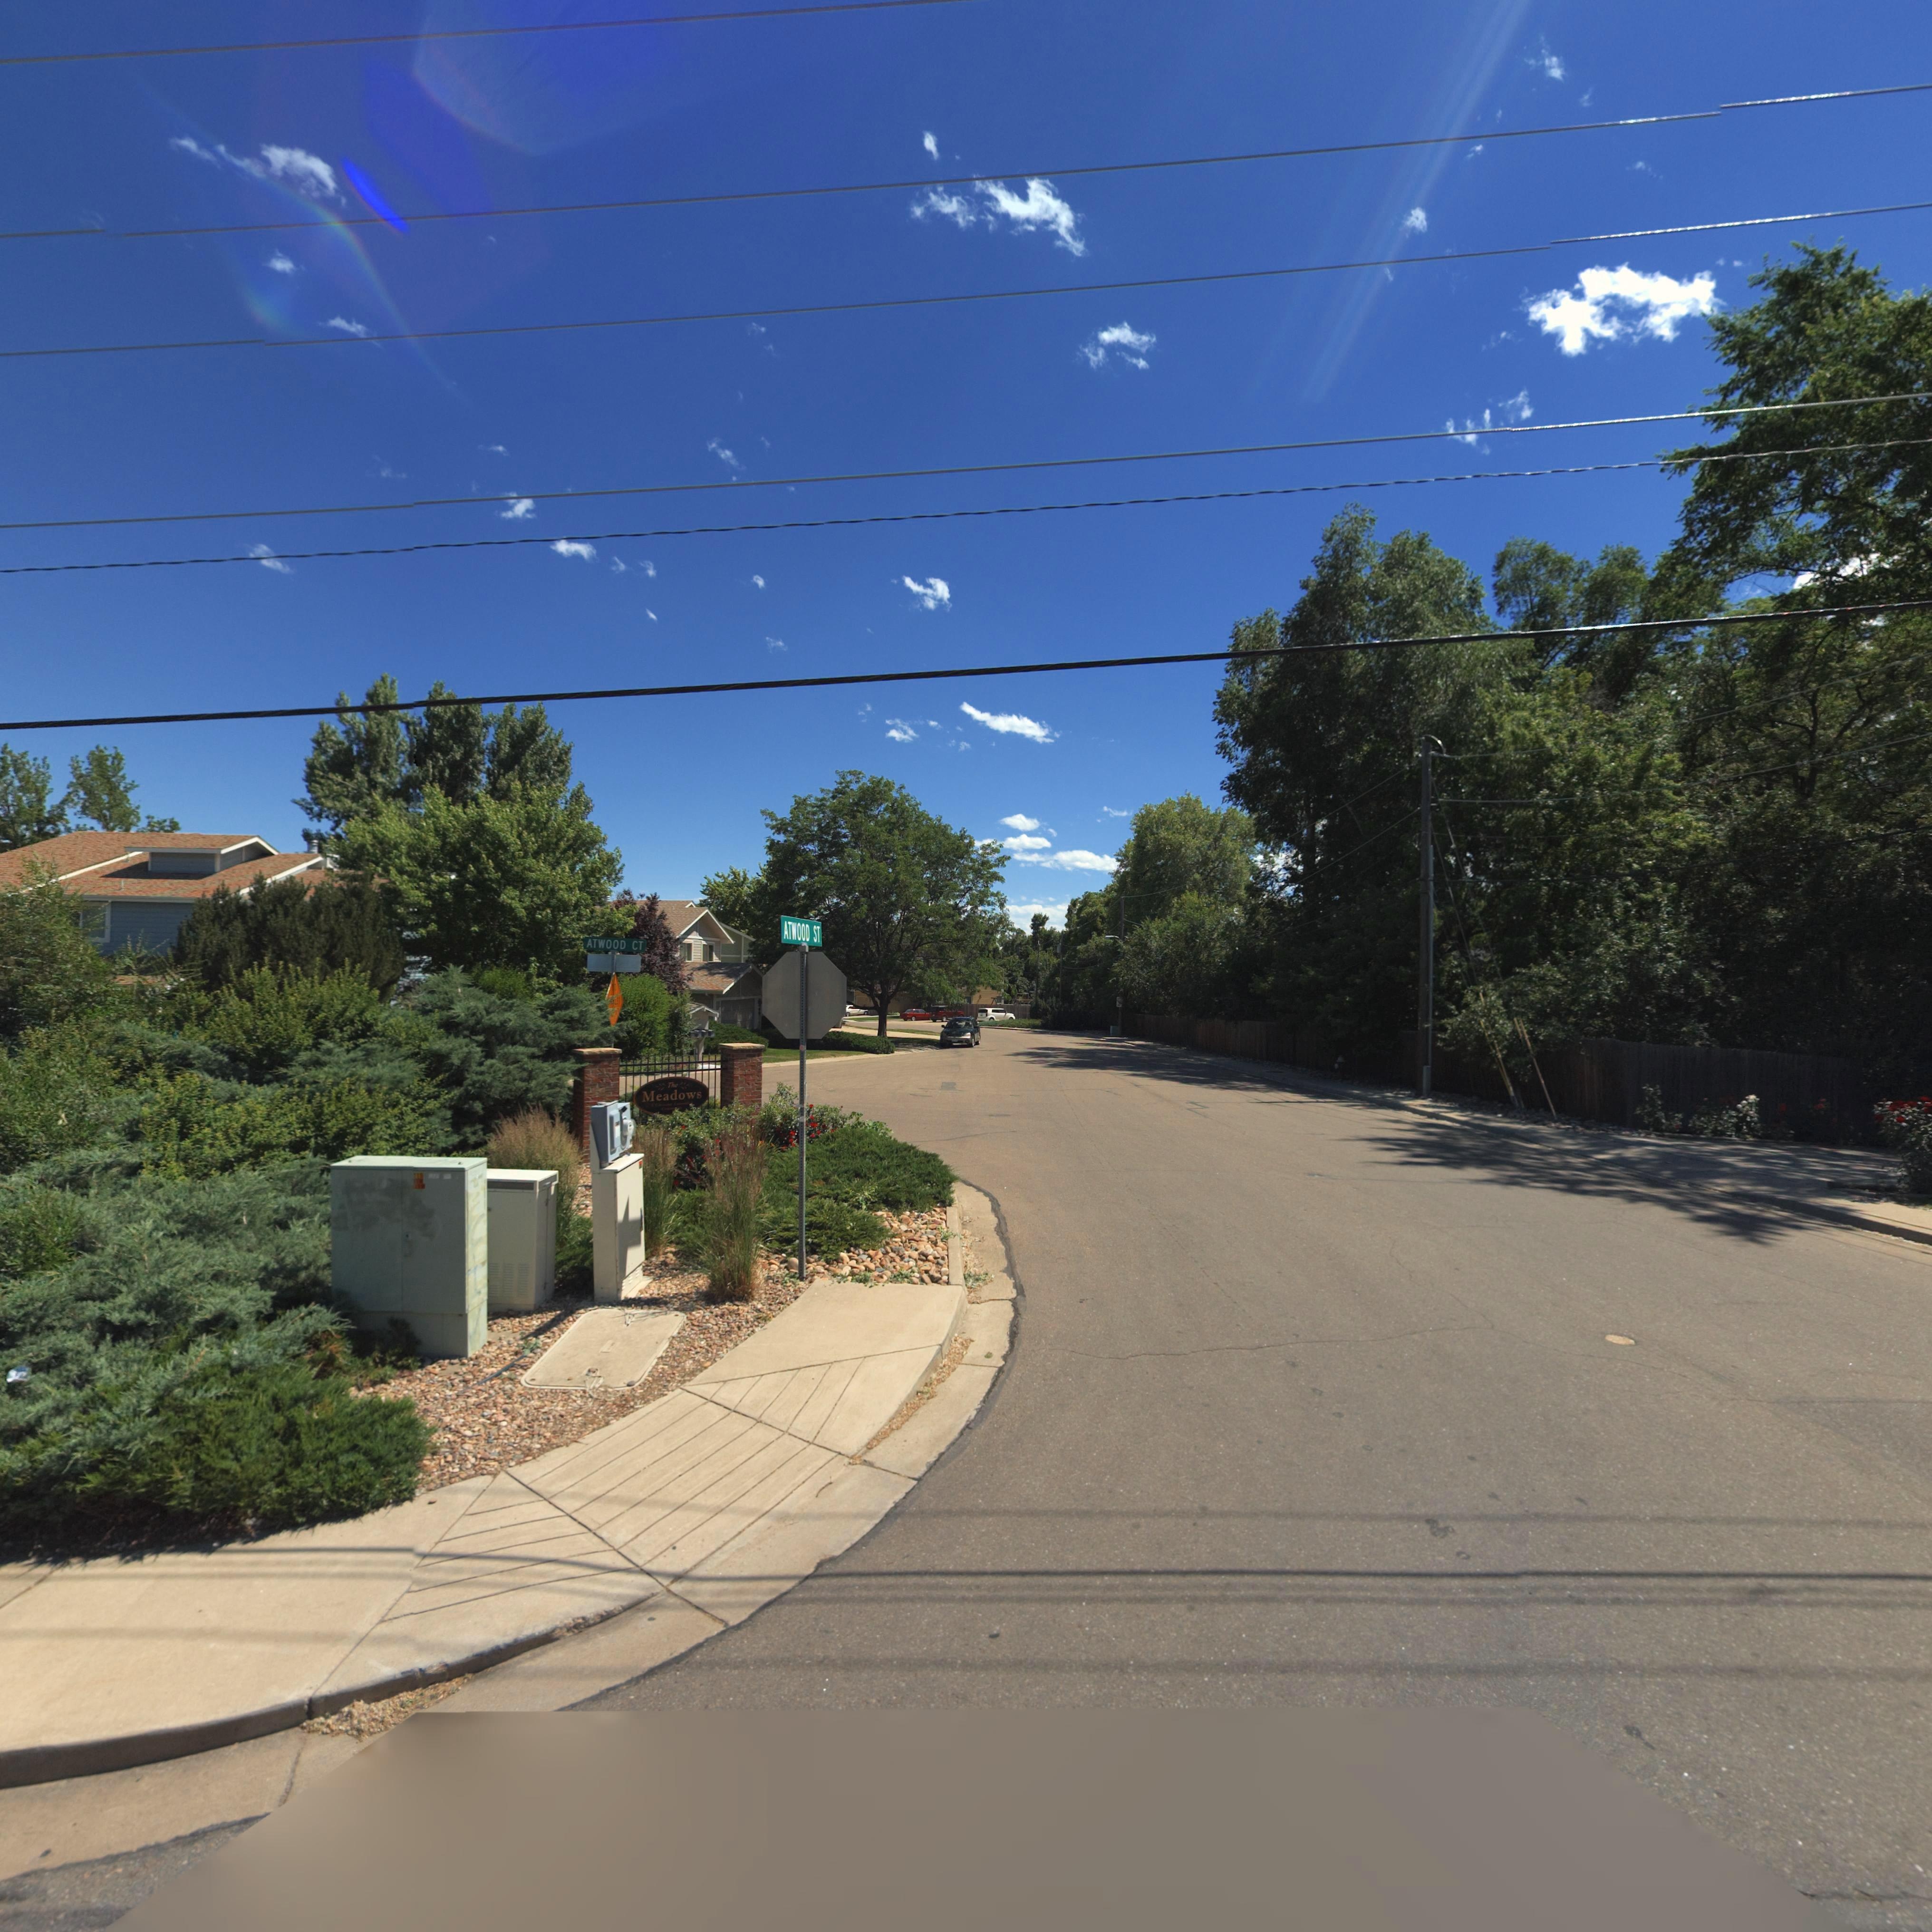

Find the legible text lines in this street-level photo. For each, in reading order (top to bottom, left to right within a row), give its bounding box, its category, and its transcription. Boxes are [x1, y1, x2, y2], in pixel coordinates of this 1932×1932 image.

[783, 920, 820, 943] StreetName: ATWOOD ST
[585, 937, 644, 950] StreetName: ATWOOD CT